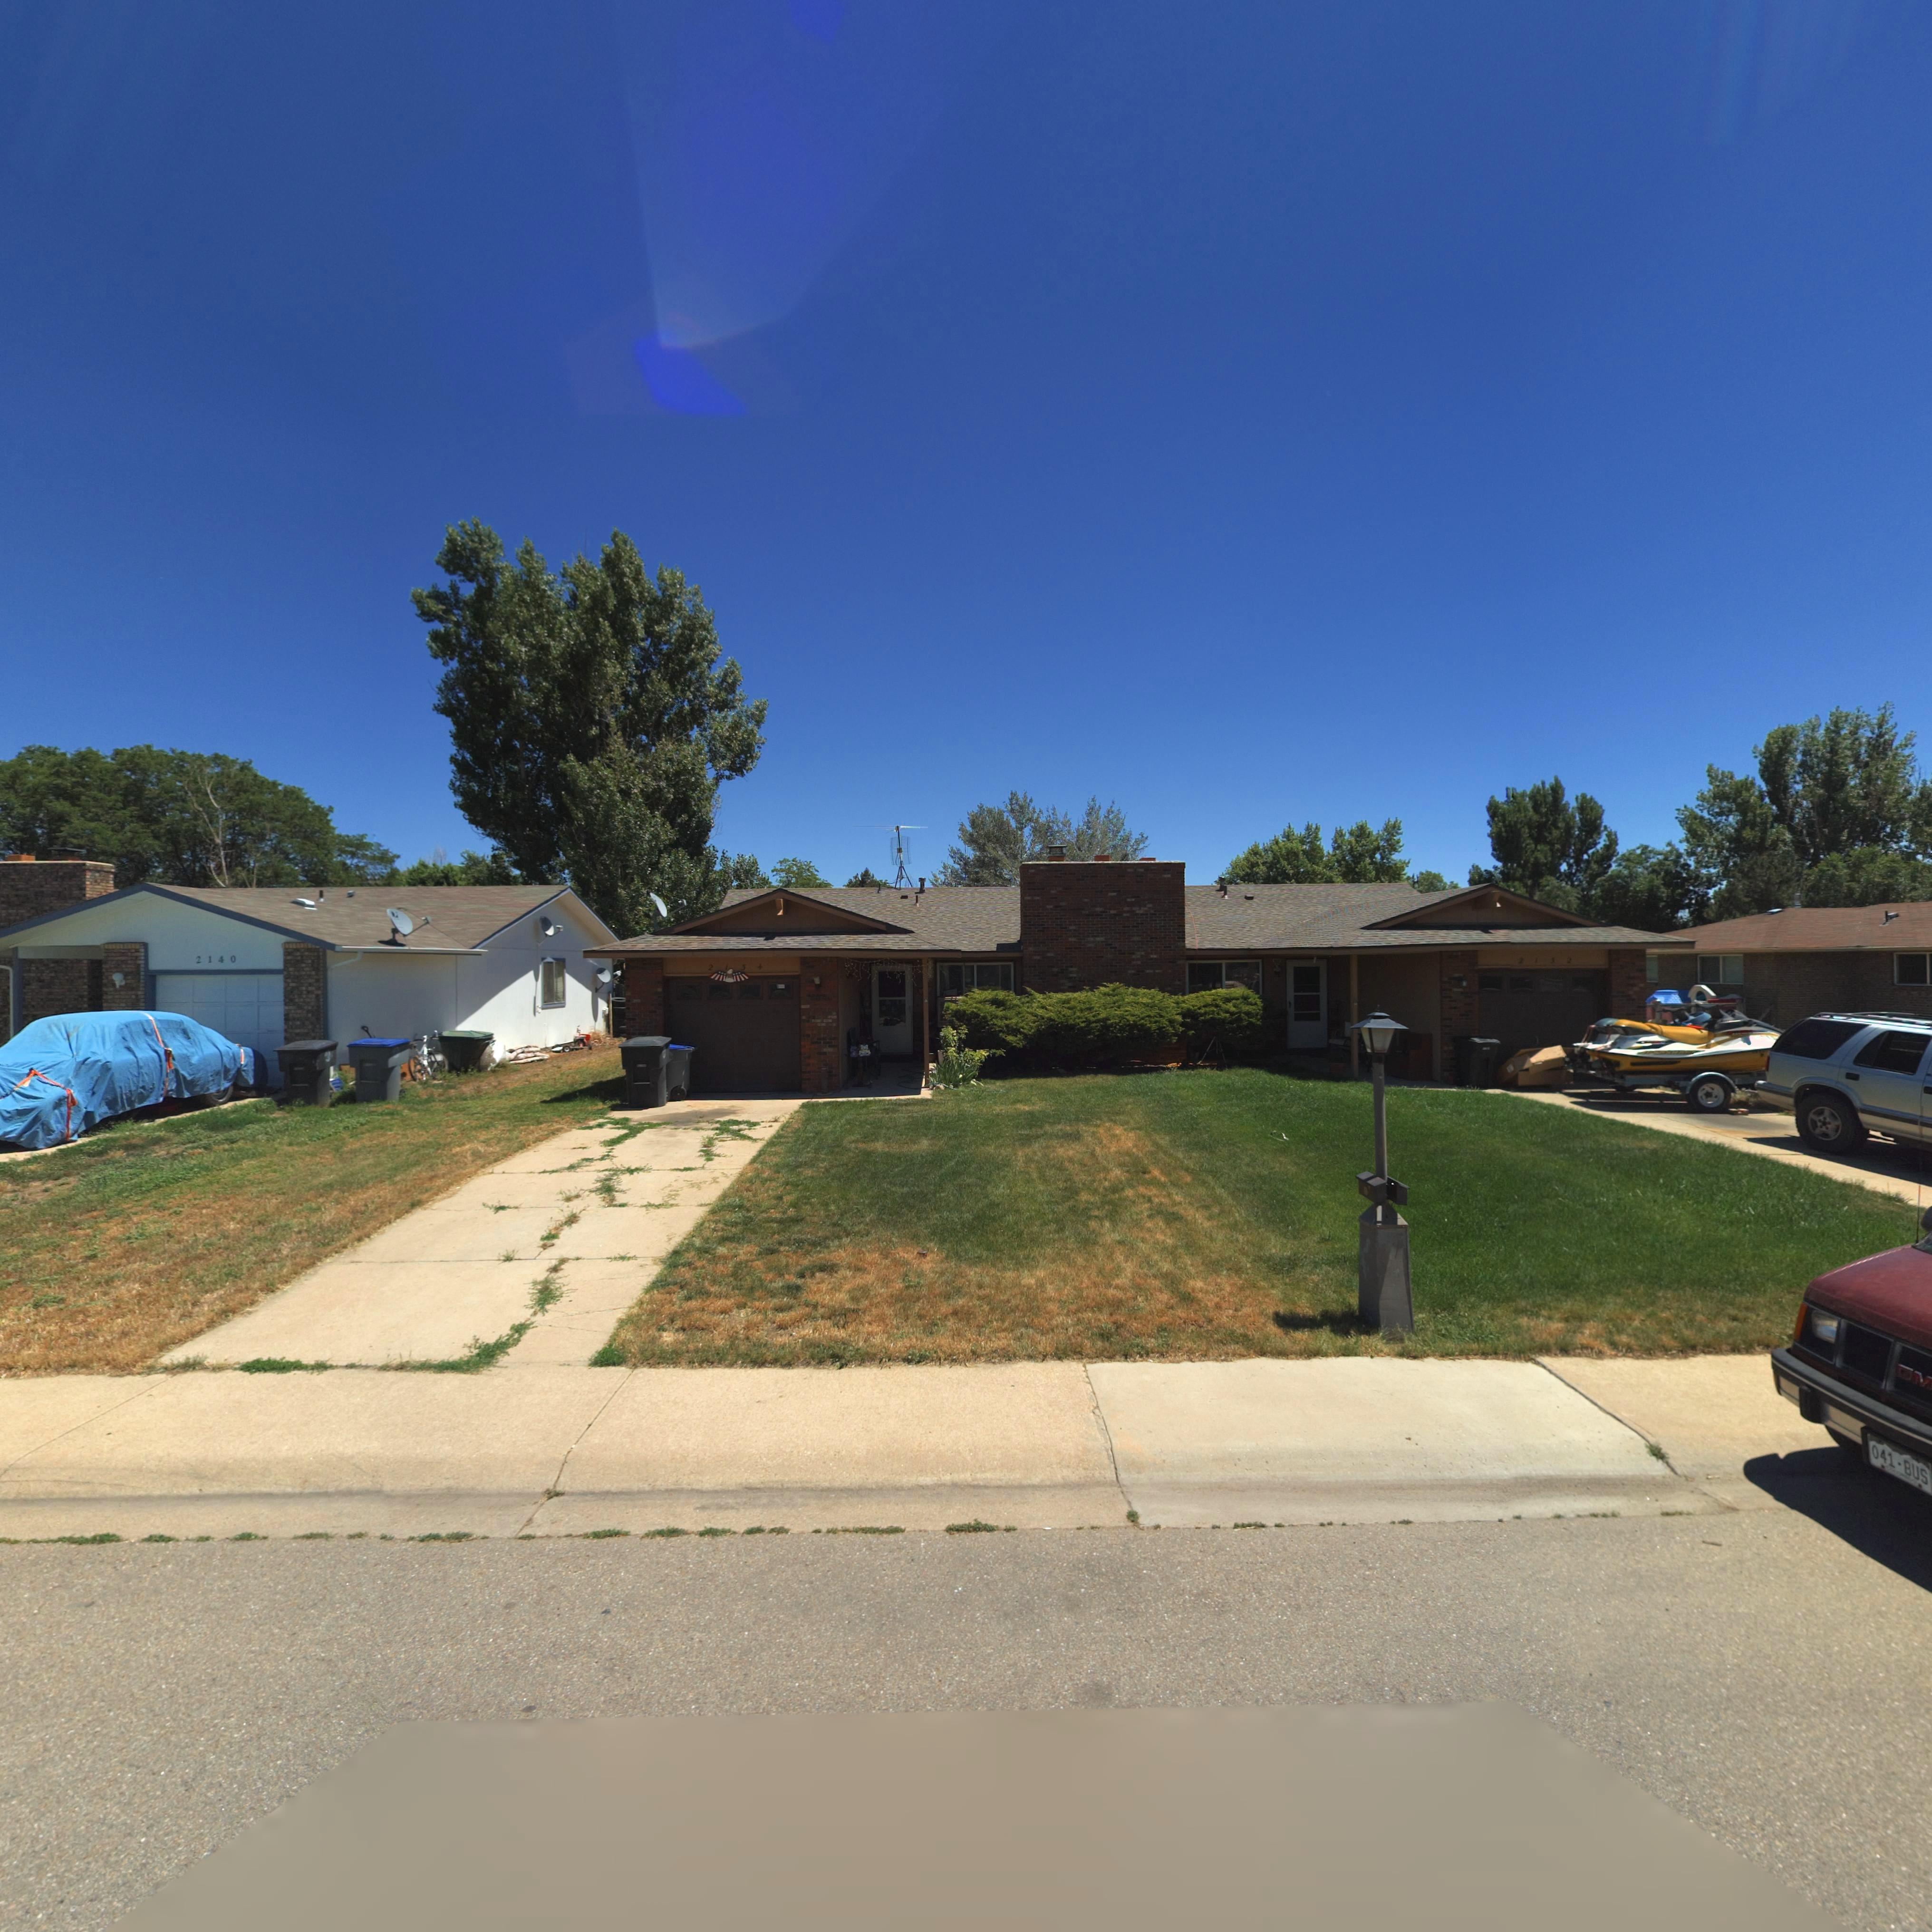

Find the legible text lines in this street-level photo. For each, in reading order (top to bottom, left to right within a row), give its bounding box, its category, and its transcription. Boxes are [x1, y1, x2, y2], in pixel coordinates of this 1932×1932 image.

[195, 954, 237, 964] StreetNumber: 2140
[1517, 956, 1574, 965] StreetNumber: 2132
[707, 962, 764, 972] StreetNumber: 2134